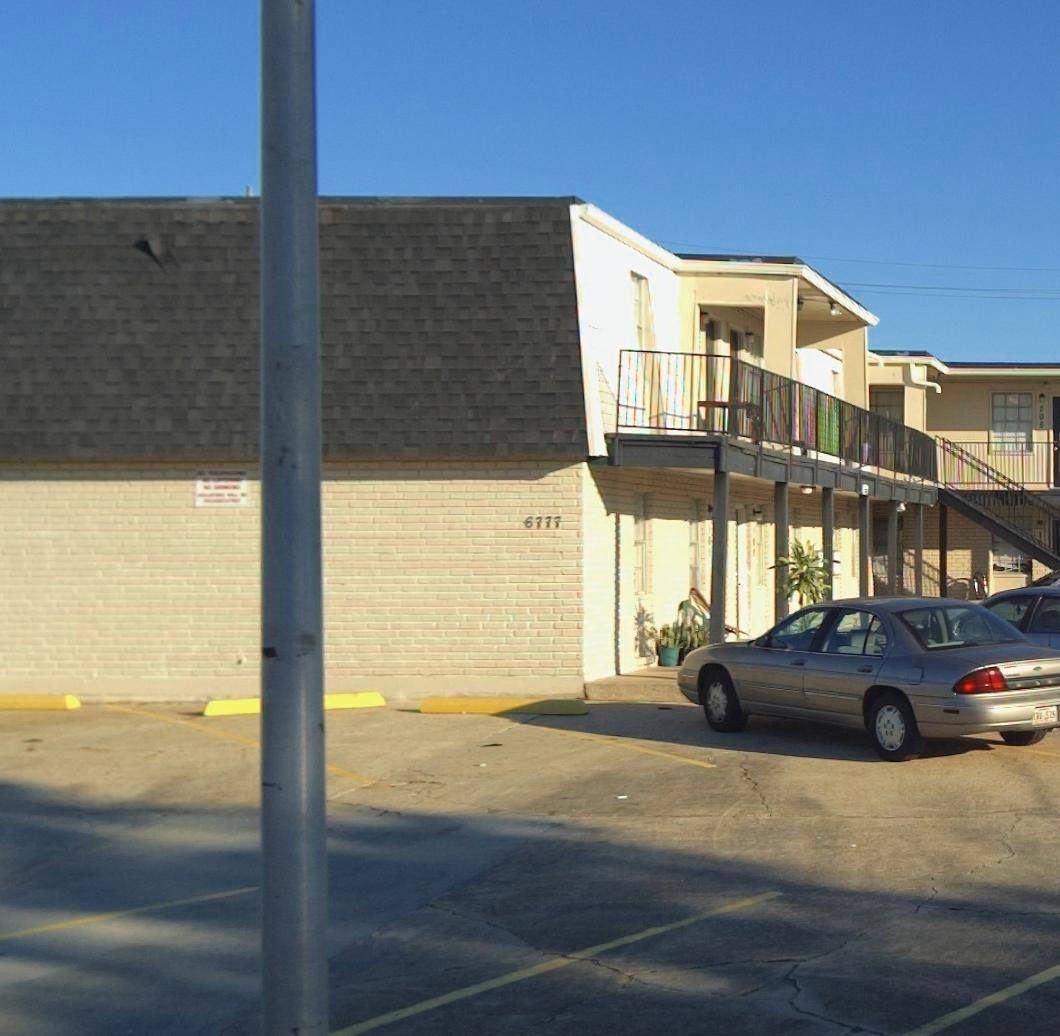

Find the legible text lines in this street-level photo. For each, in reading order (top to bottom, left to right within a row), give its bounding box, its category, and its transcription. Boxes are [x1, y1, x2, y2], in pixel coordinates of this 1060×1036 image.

[1037, 402, 1047, 430] StreetNumber: *05
[522, 514, 564, 531] StreetNumber: 6777